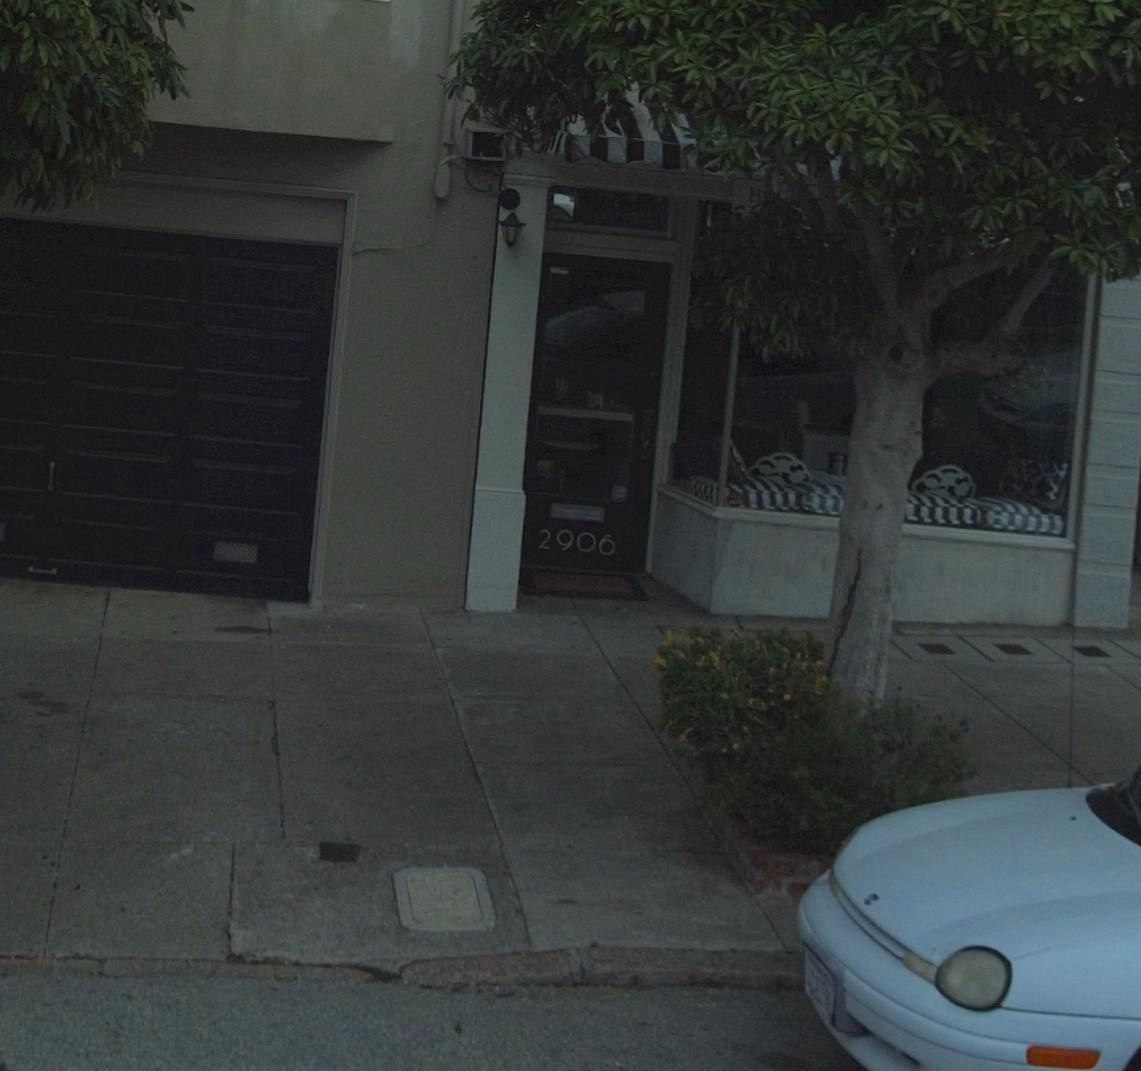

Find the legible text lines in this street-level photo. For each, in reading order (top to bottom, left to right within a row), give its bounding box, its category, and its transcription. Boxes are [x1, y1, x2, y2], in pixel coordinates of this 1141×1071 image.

[535, 525, 618, 559] StreetNumber: 2906